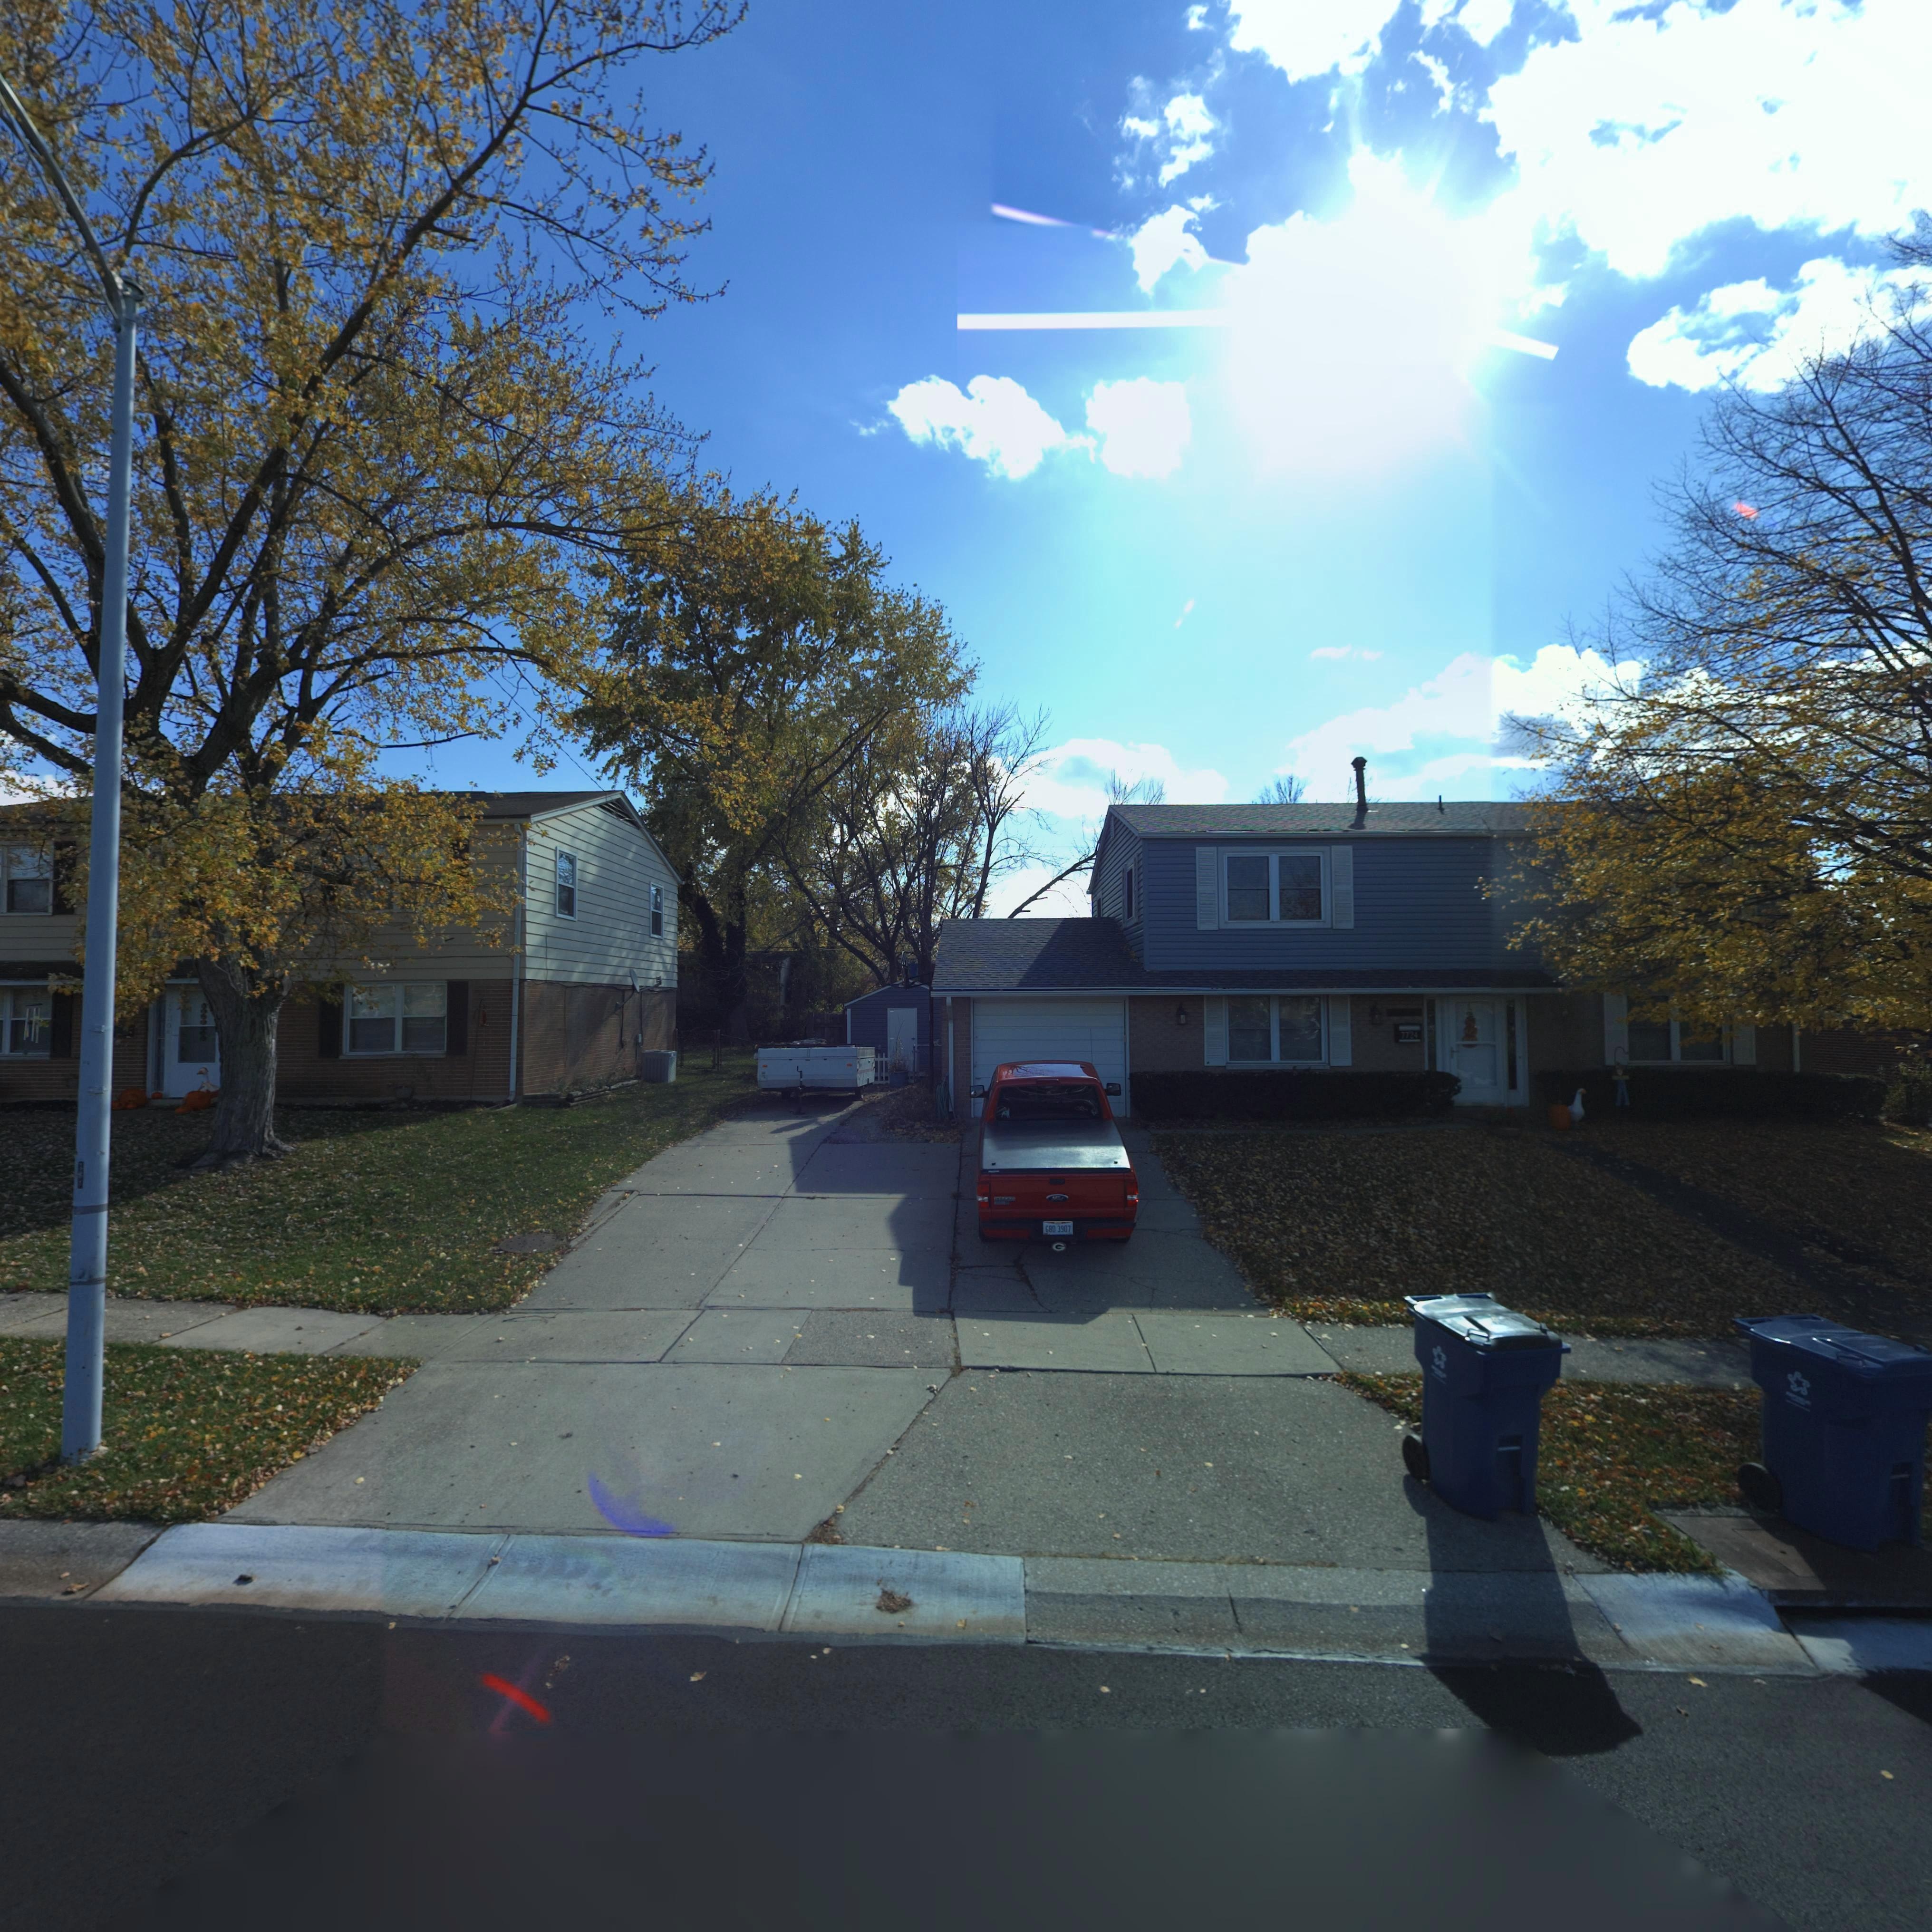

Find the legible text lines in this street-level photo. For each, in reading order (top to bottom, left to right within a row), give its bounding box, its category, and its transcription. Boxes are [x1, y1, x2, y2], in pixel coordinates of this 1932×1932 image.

[165, 1000, 174, 1029] StreetNumber: 7730
[1400, 1031, 1418, 1039] StreetNumber: 7724